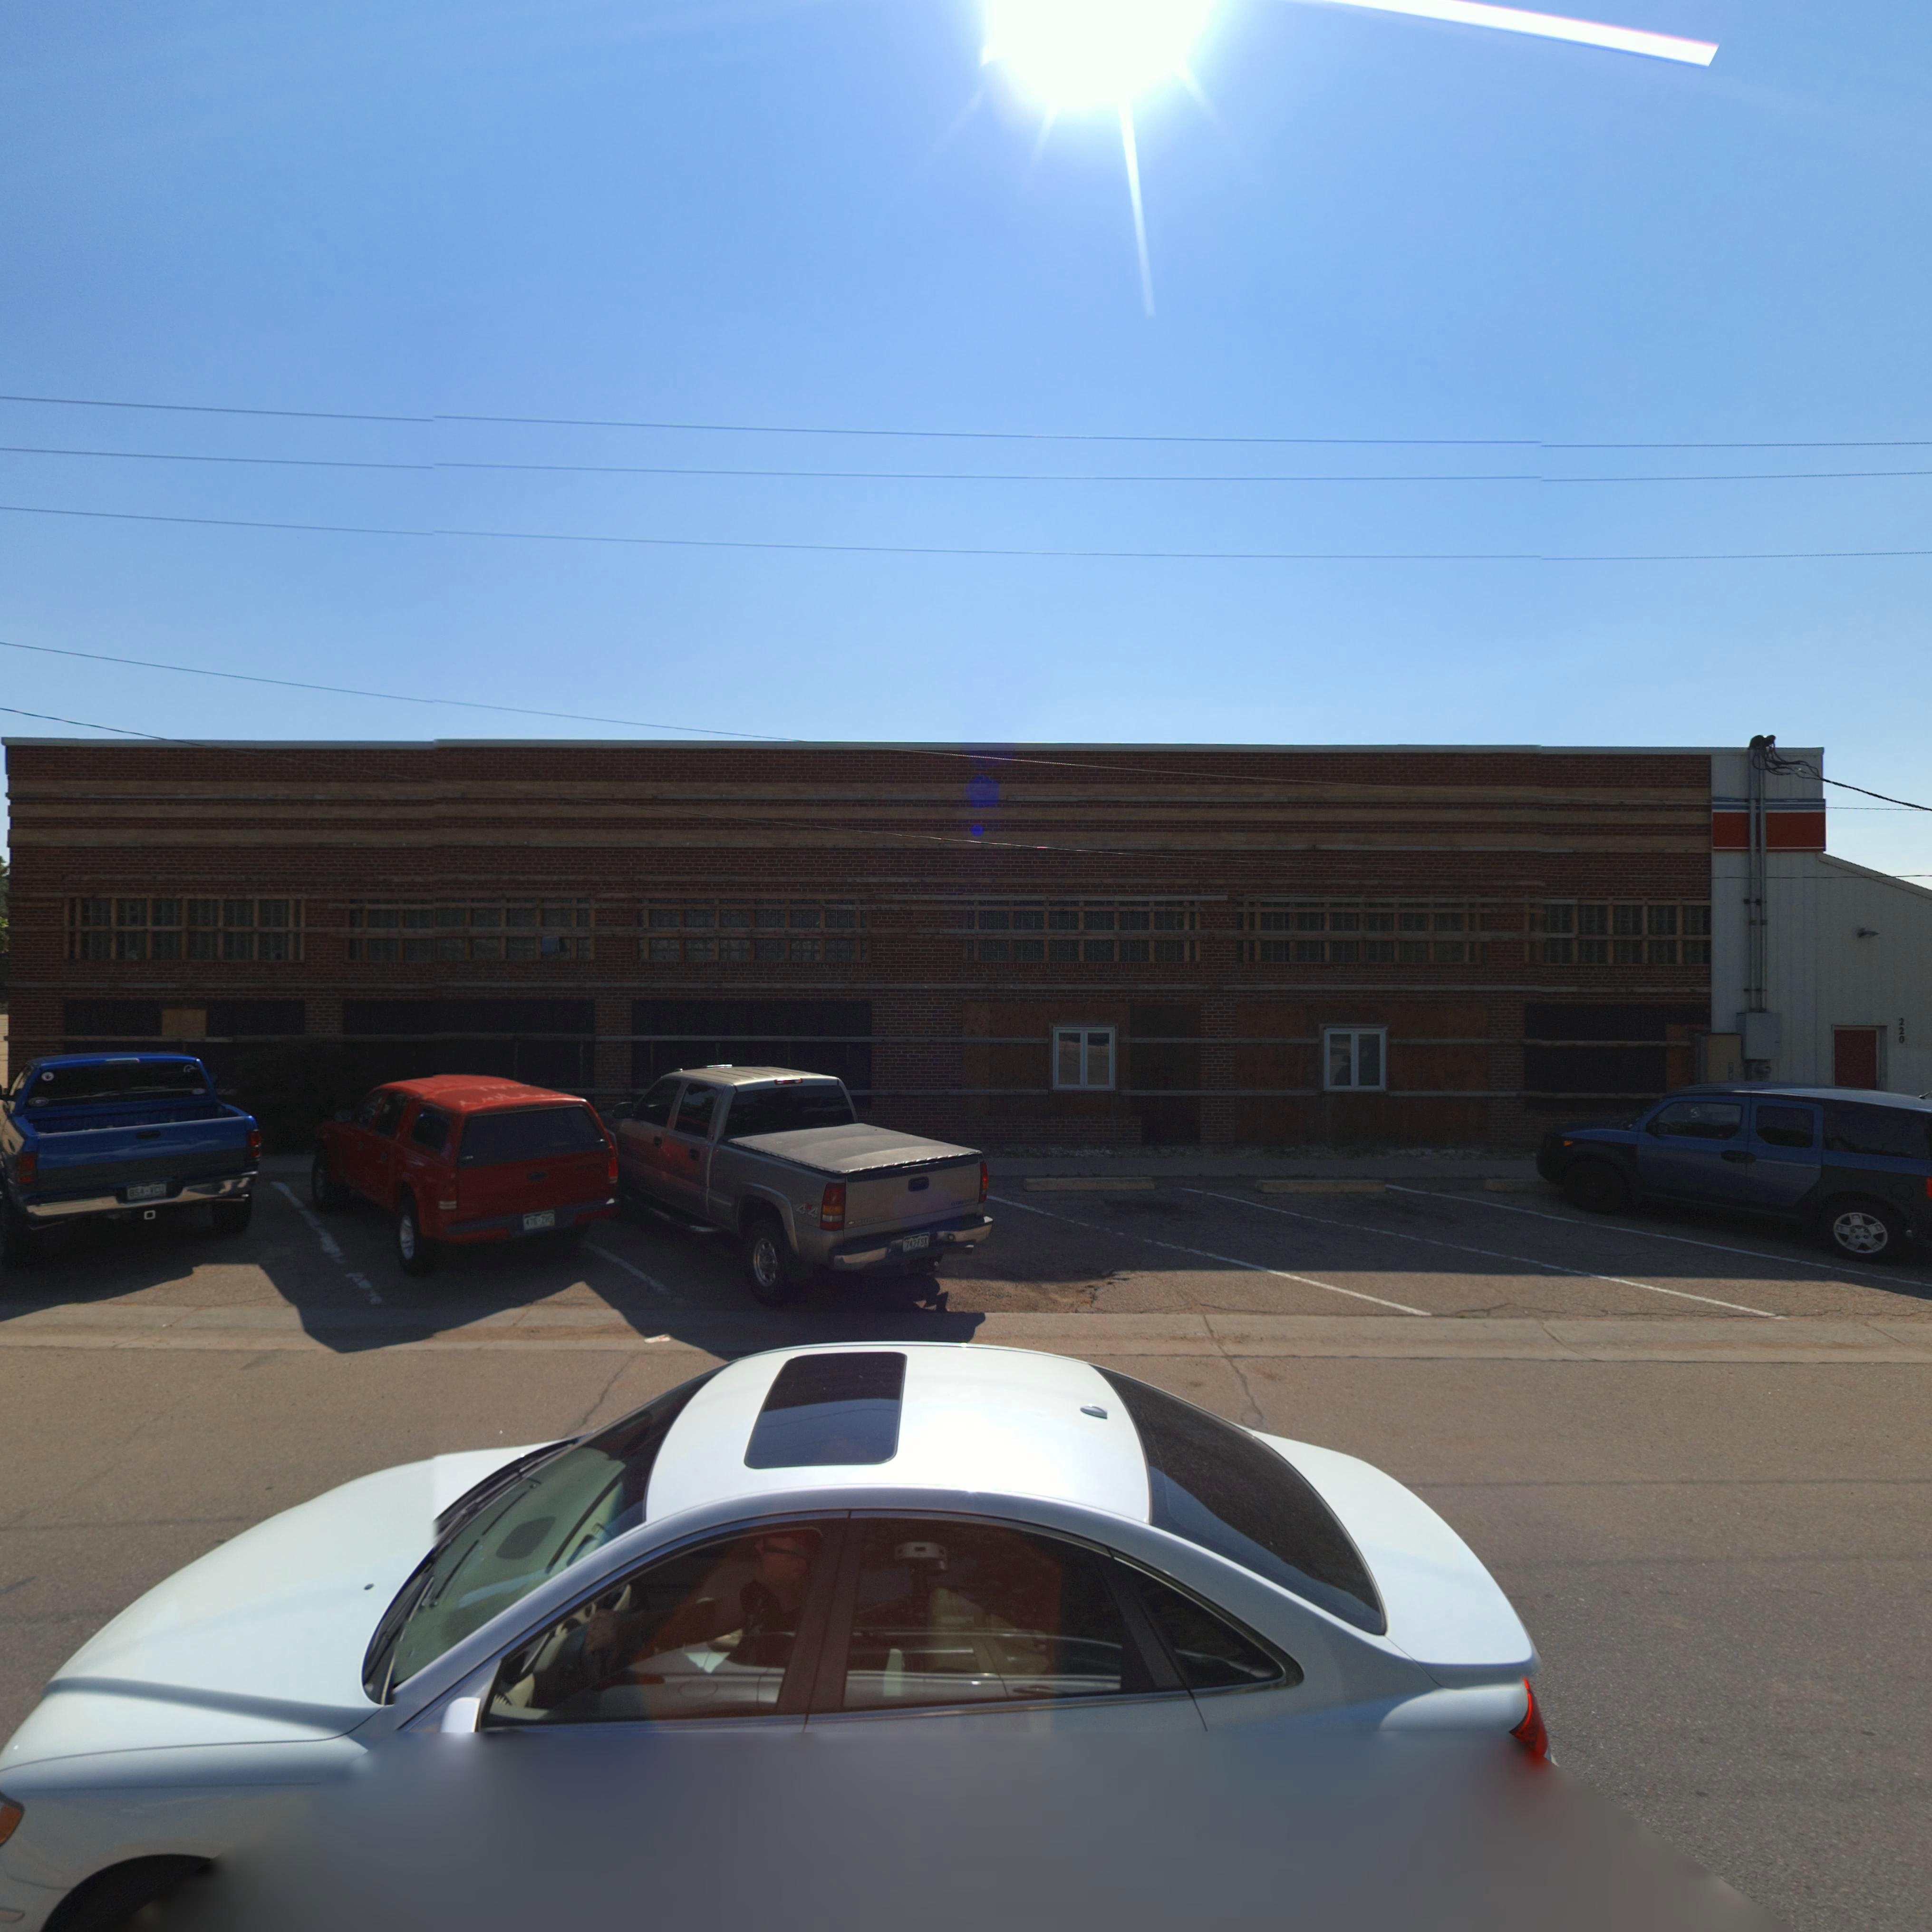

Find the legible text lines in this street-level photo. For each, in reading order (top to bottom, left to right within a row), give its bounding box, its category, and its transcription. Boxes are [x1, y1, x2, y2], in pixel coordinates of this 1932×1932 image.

[1898, 1017, 1905, 1044] StreetNumber: 220